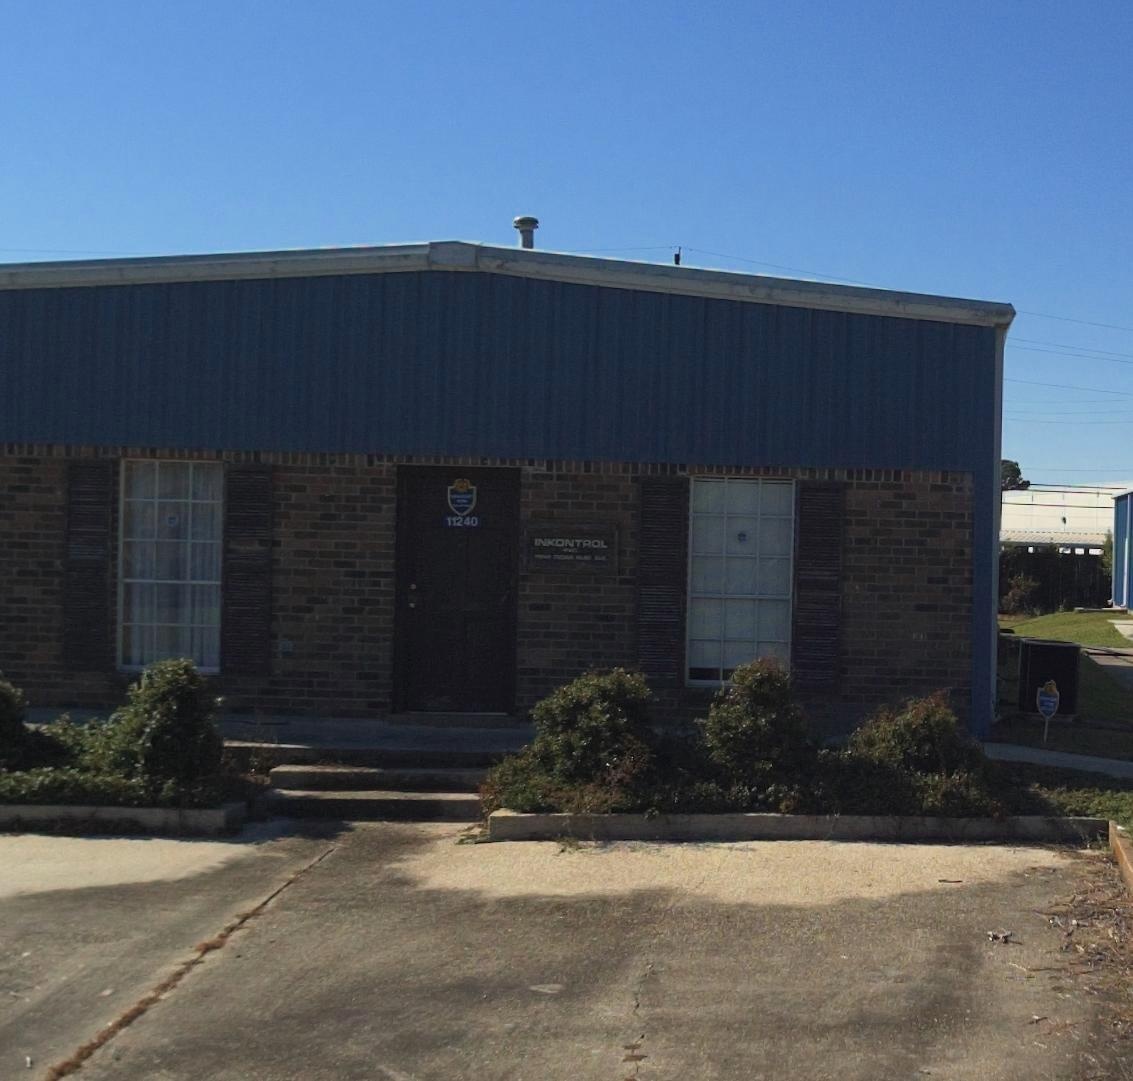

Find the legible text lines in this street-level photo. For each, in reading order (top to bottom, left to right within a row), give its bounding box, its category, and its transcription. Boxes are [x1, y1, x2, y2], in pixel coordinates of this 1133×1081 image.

[443, 514, 481, 528] StreetNumber: 11240
[532, 535, 610, 550] BusinessName: INKONTROL